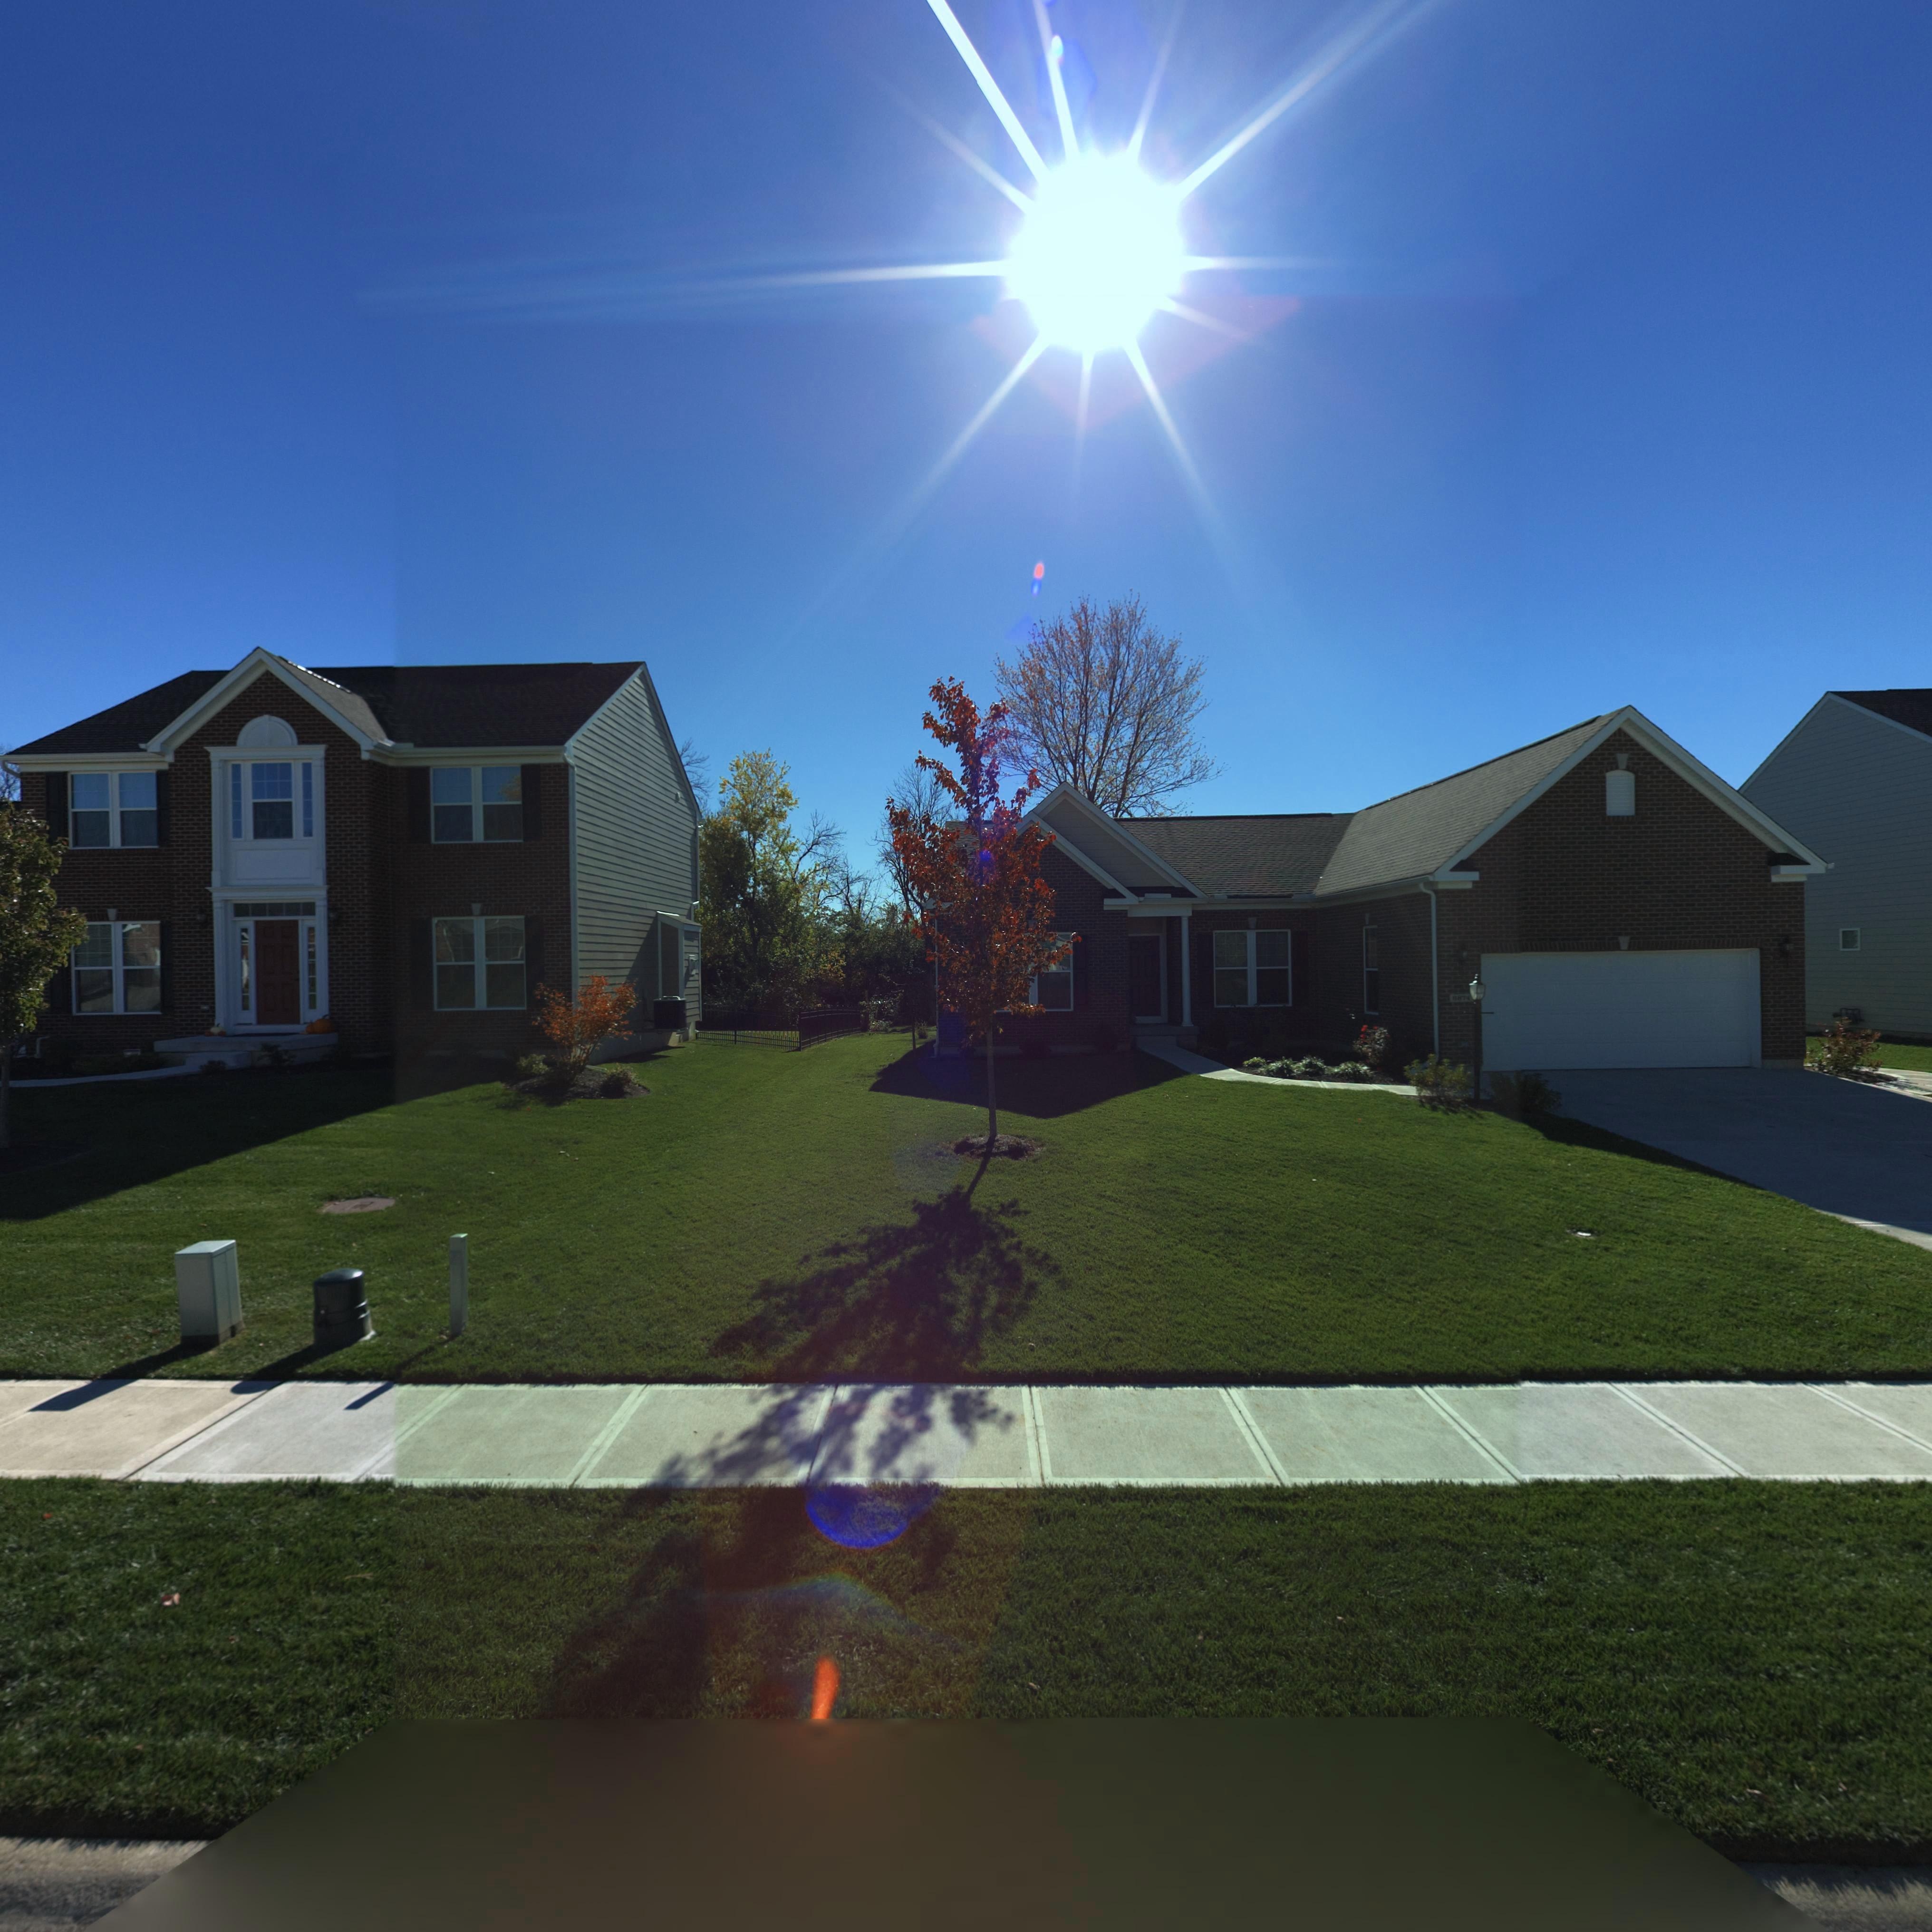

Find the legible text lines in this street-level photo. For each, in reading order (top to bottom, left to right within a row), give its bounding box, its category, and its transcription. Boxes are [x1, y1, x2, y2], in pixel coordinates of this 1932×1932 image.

[1451, 995, 1470, 1002] StreetNumber: 687*